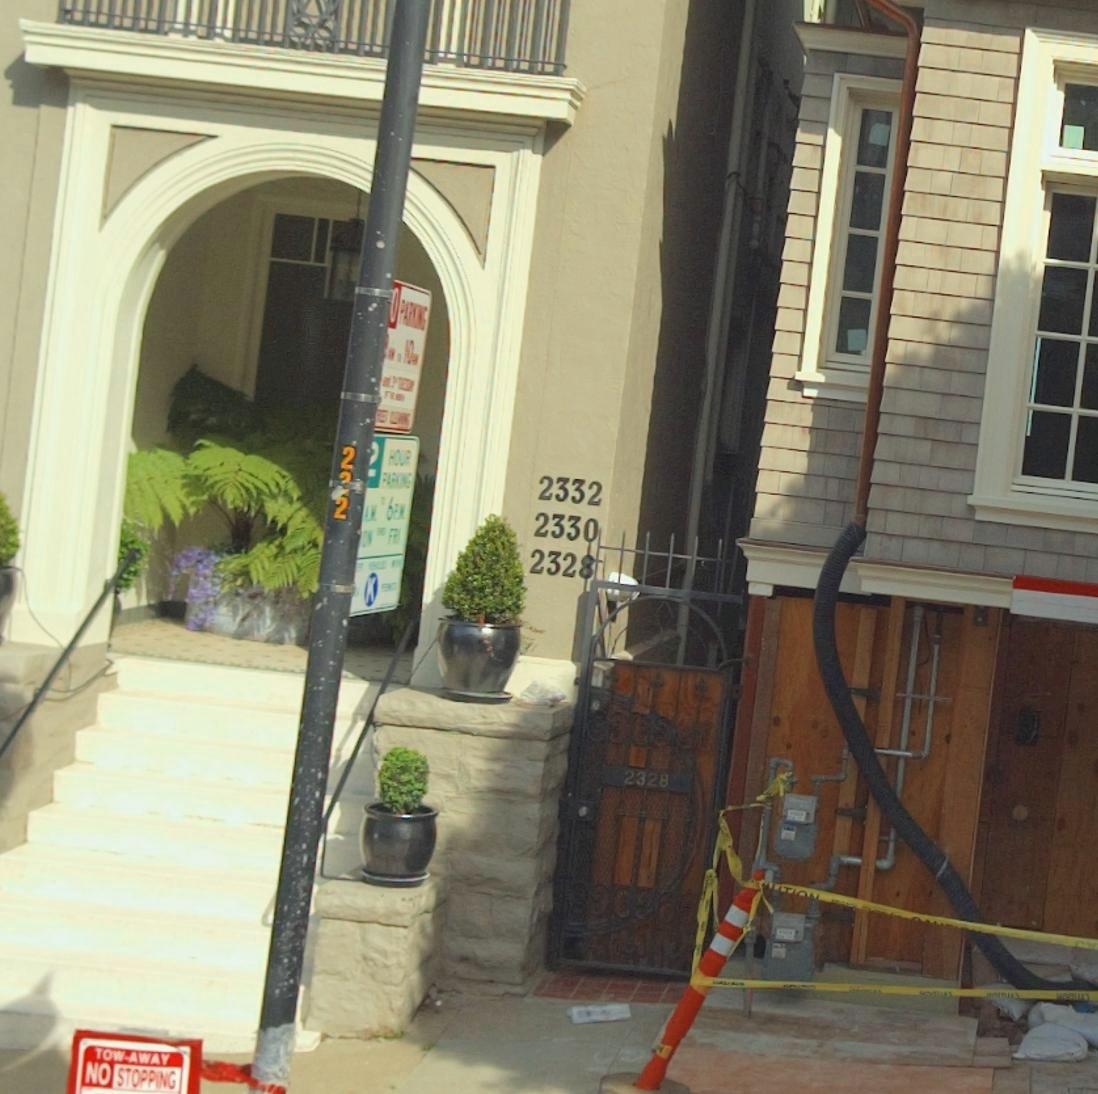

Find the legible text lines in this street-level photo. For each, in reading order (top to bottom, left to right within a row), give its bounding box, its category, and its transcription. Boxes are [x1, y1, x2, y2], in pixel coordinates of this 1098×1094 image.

[387, 282, 411, 329] None: O PA
[386, 446, 415, 469] None: HOUR
[330, 442, 361, 523] None: 2*2
[383, 492, 397, 524] None: 6
[535, 473, 605, 509] None: 2332
[530, 510, 600, 544] StreetNumber: 2330
[526, 546, 596, 581] StreetNumber: 2328
[363, 573, 378, 606] None: K
[621, 767, 672, 790] None: 2328
[93, 1044, 173, 1068] None: TOW-AWAY
[82, 1057, 180, 1093] None: NO STOPPING